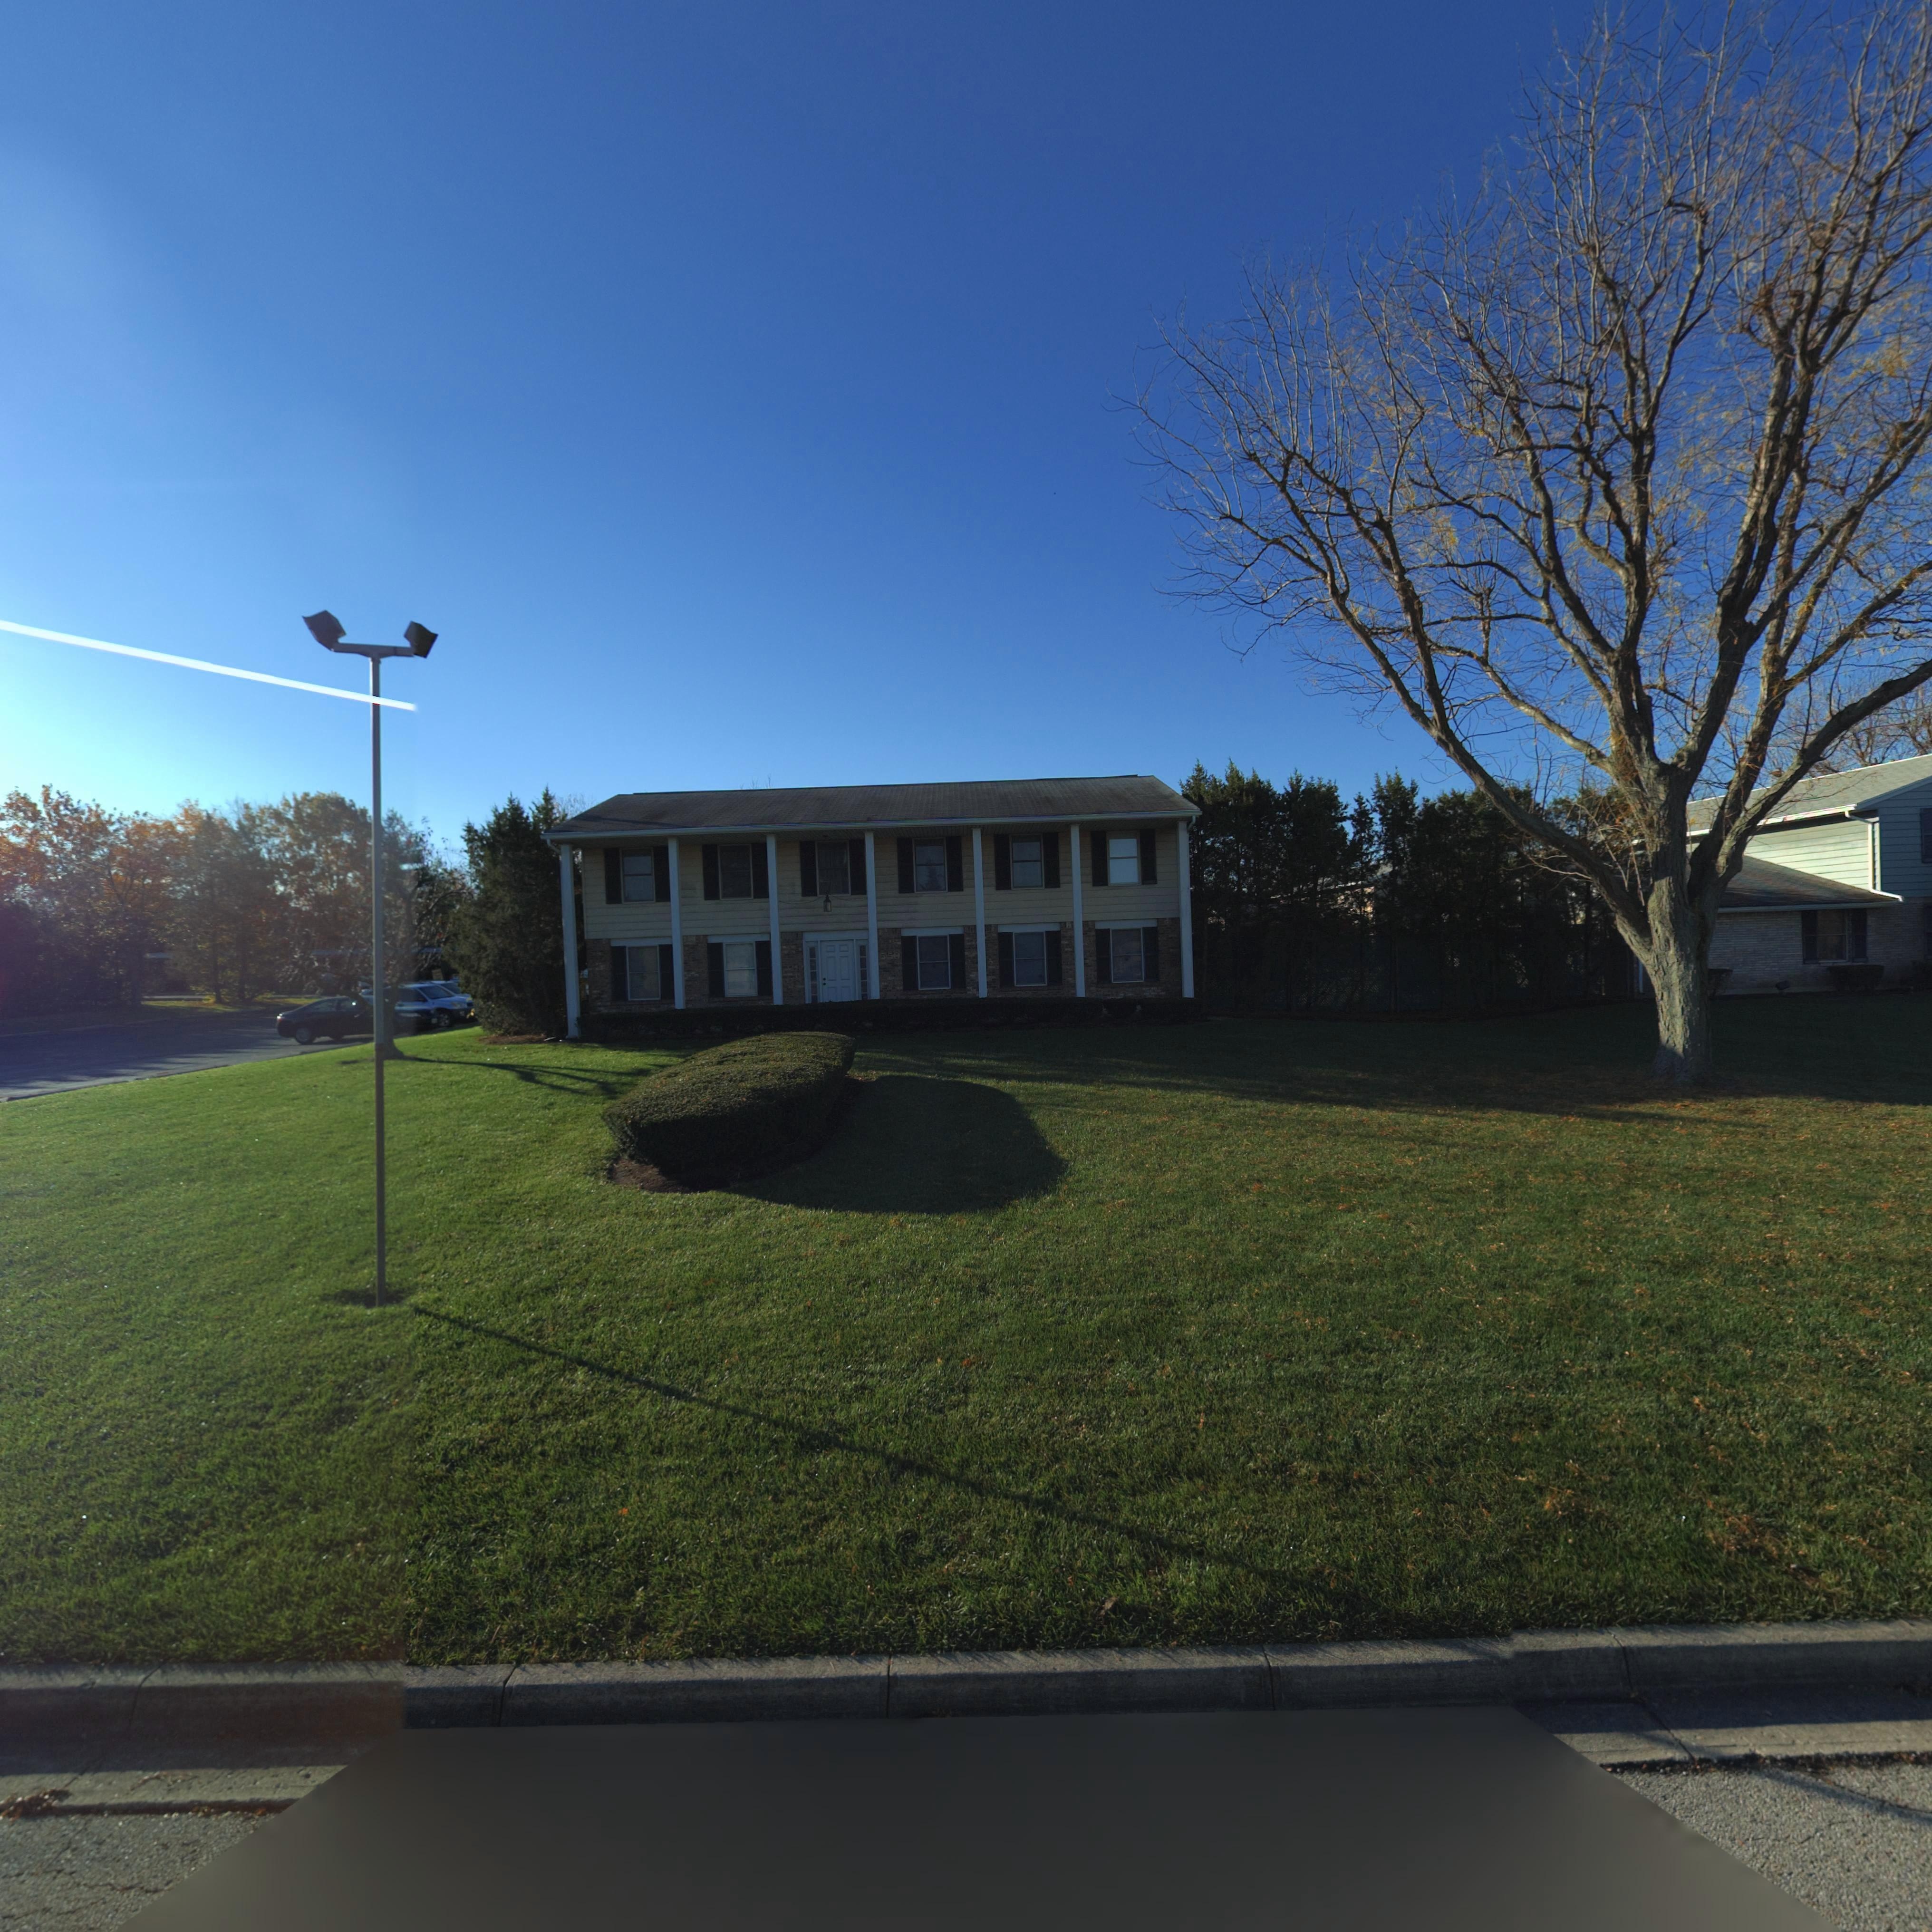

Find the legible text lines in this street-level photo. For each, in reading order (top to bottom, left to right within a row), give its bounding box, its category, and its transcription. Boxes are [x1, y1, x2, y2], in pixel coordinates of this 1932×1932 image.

[880, 951, 900, 960] StreetNumber: 550